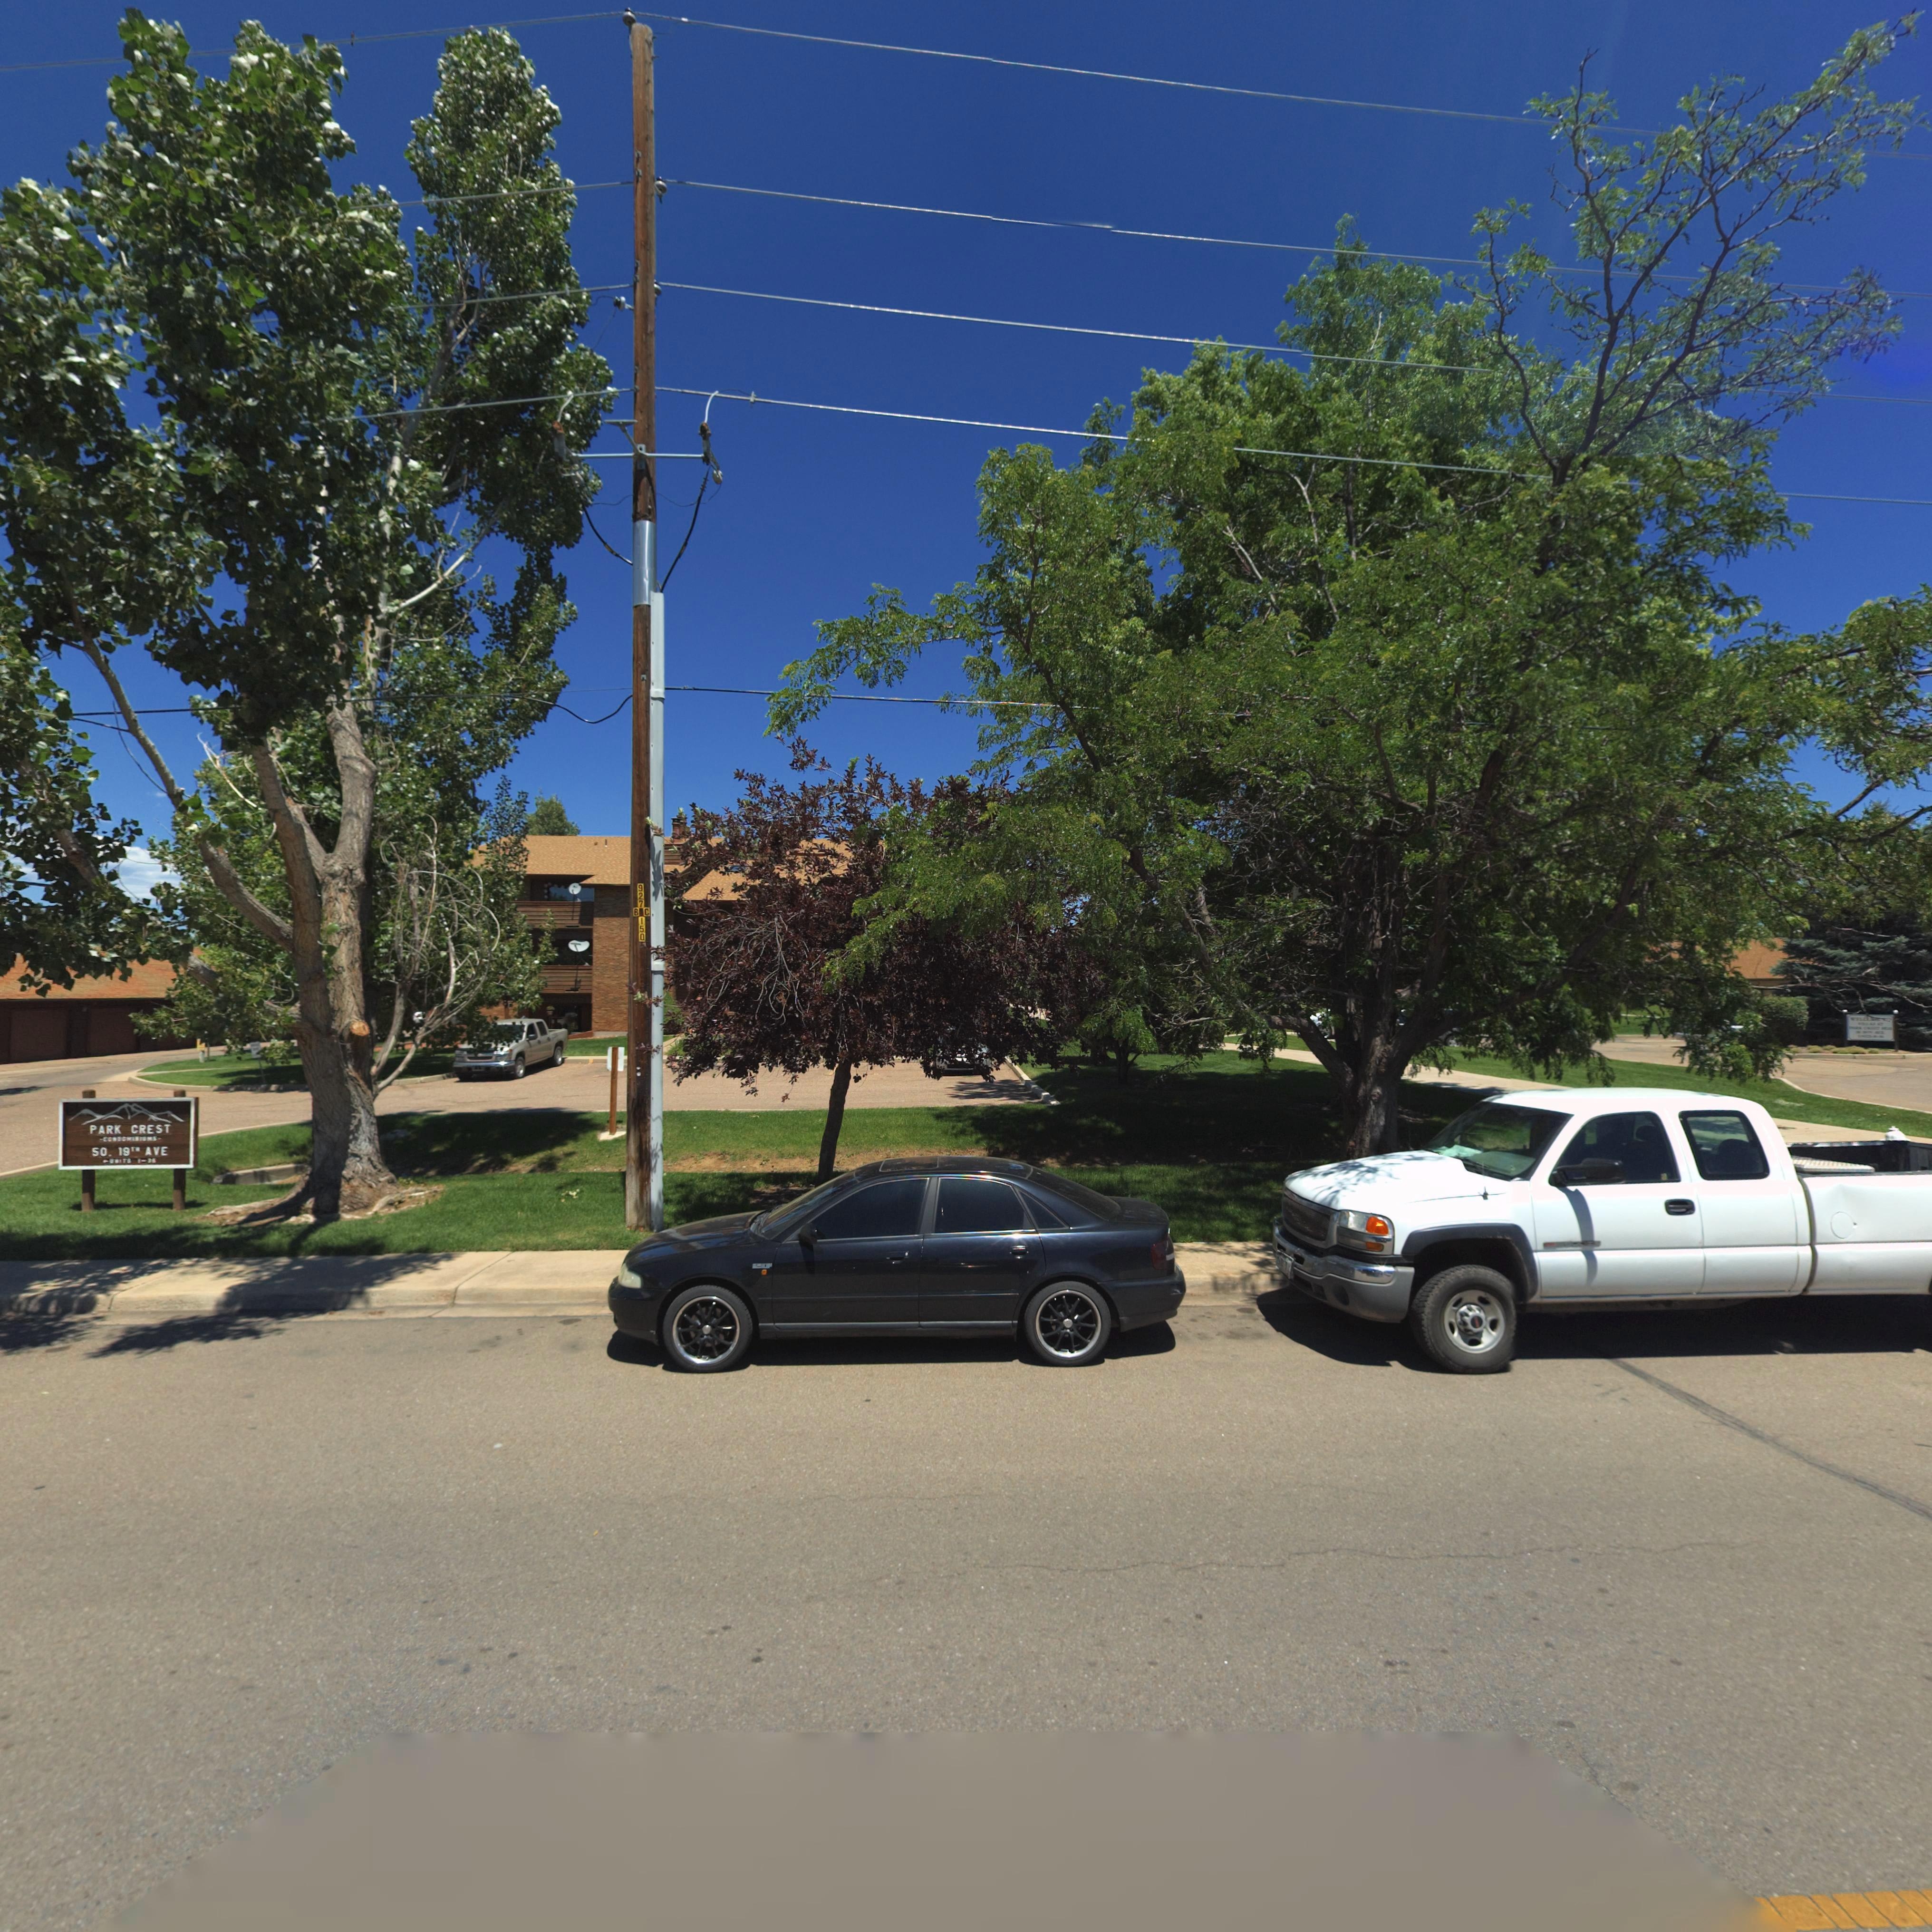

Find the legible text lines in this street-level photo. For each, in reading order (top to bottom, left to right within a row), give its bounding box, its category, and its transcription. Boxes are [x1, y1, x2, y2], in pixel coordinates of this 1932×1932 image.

[89, 1124, 171, 1135] BusinessName: PARK CREST
[103, 1136, 157, 1142] BusinessName: CO**O*I*I*MS
[92, 1146, 168, 1157] StreetName: 50. 19T* AVE
[102, 1158, 156, 1164] SecondaryUnitDesignator: ***IT* 1-3*